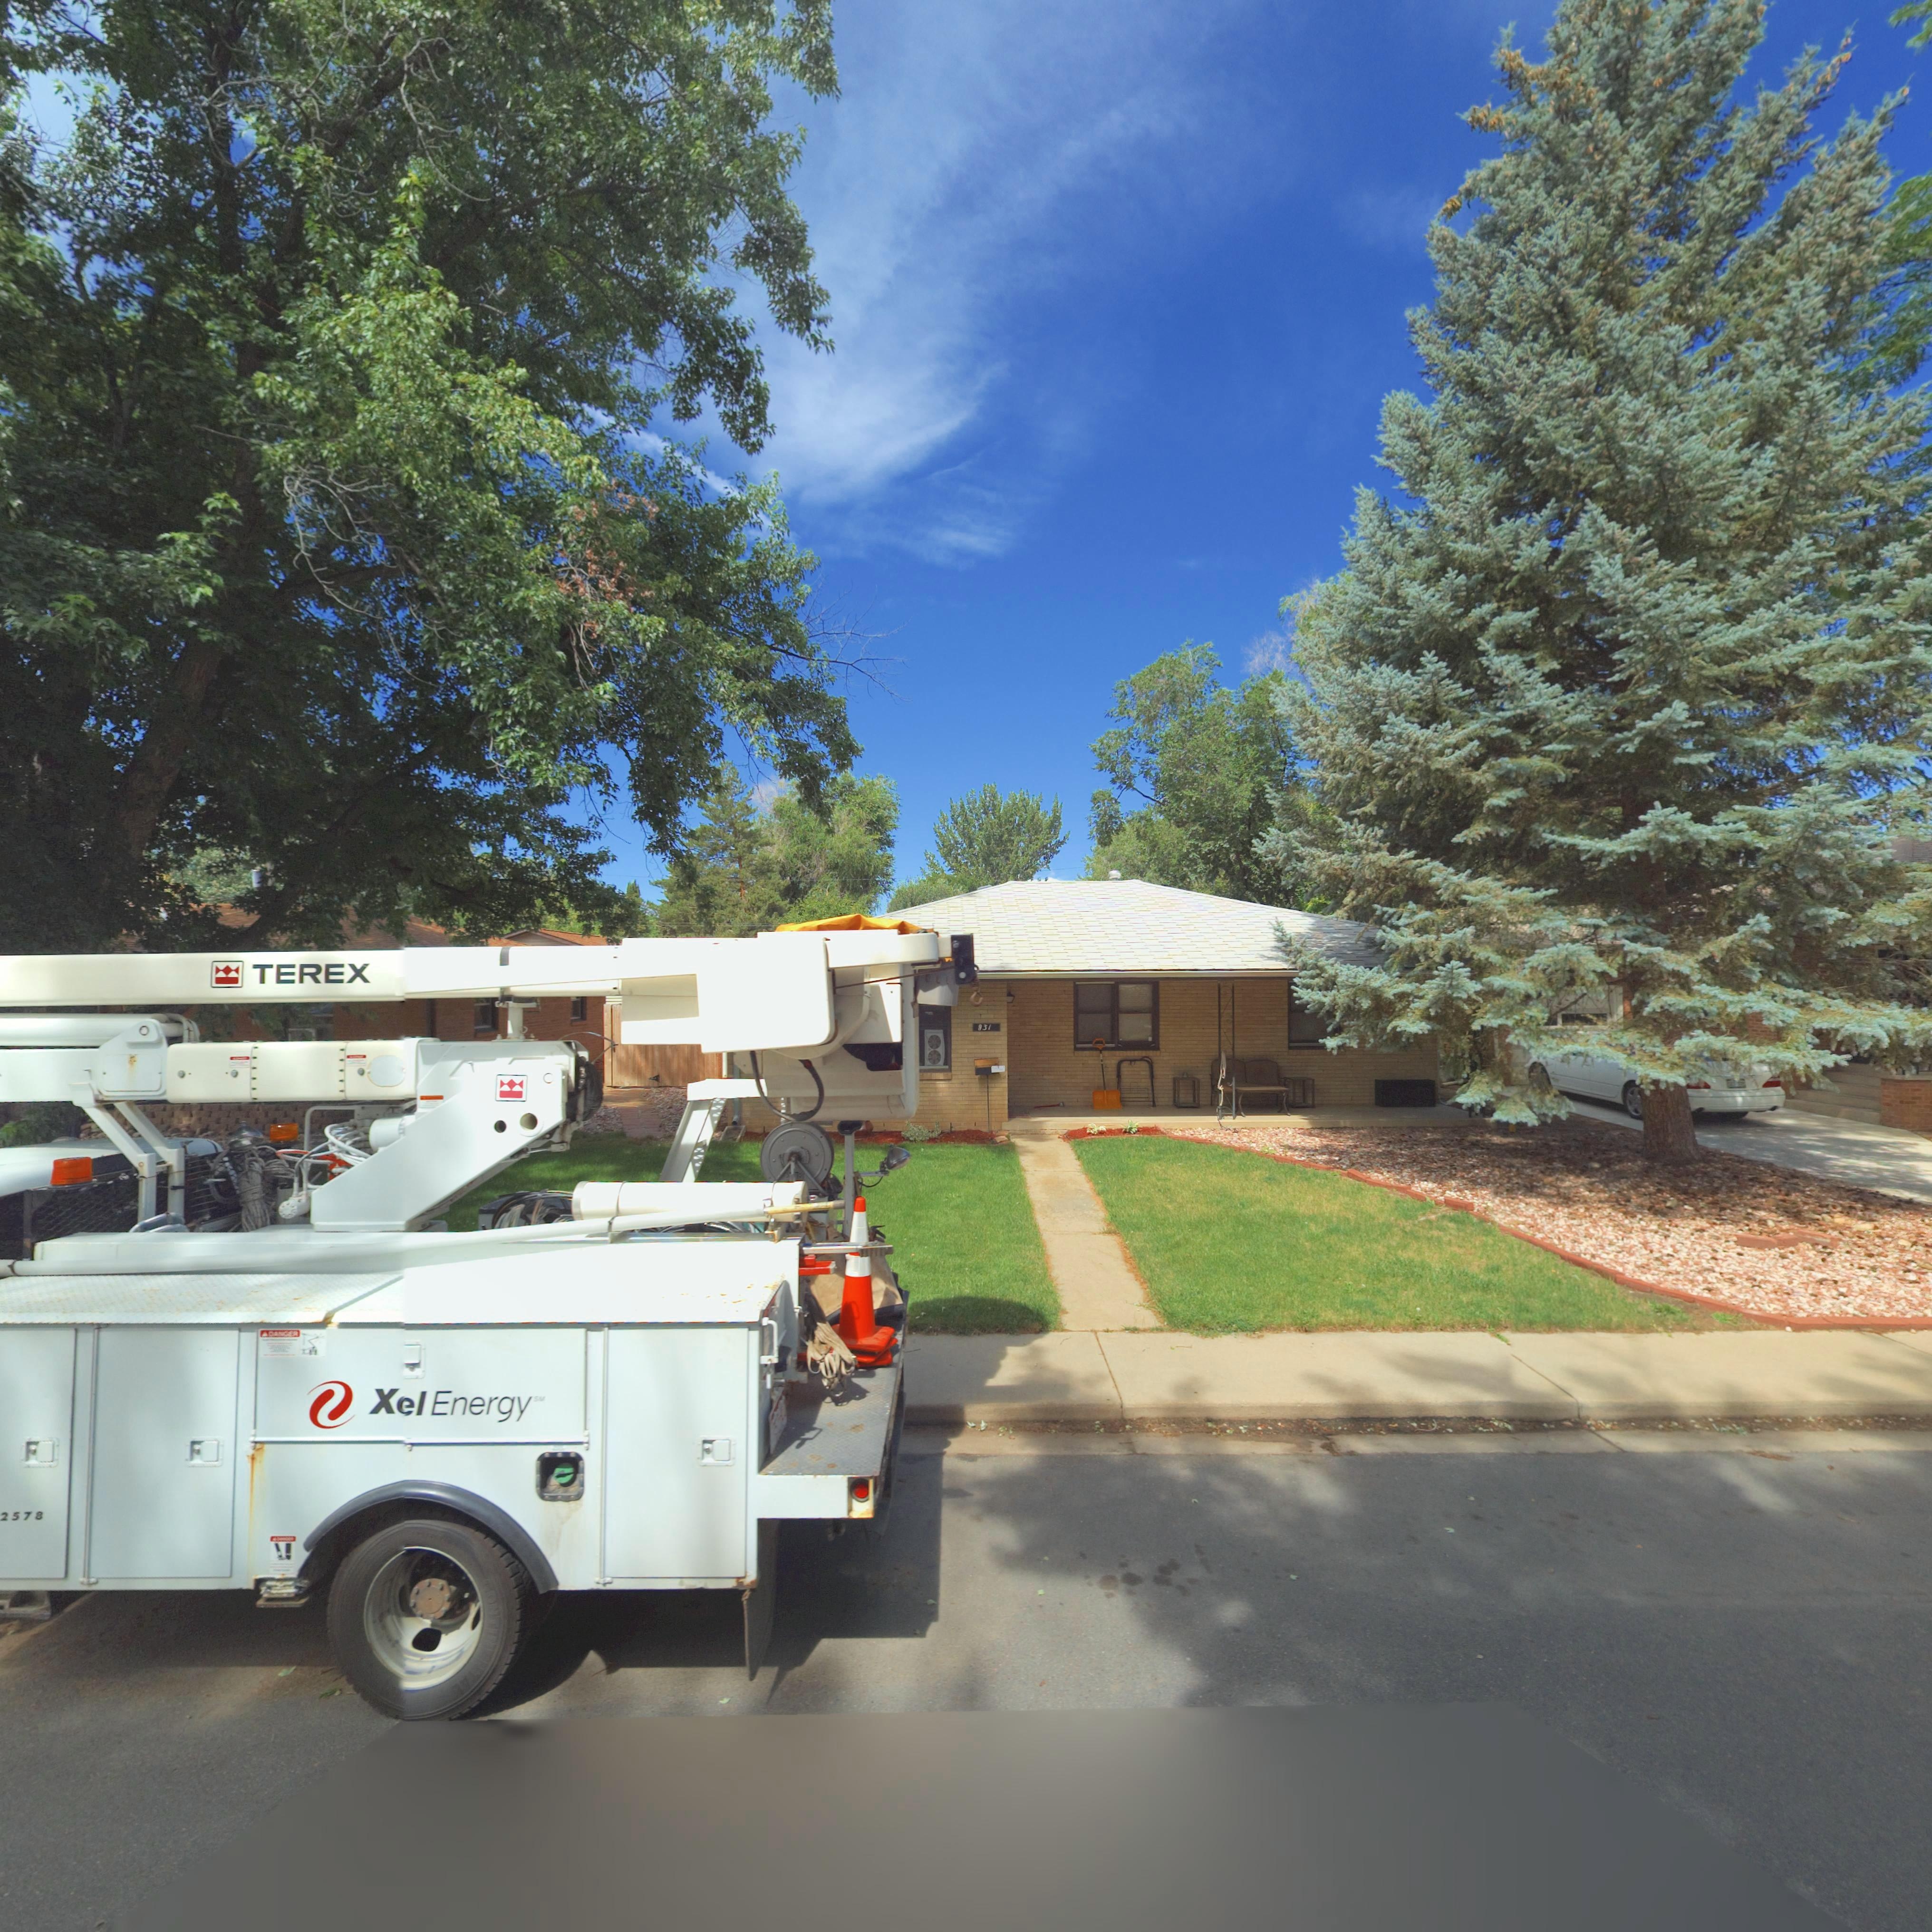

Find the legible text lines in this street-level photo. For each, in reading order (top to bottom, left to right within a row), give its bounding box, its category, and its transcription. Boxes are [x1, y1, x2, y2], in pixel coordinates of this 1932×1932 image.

[977, 1024, 991, 1030] StreetNumber: 931